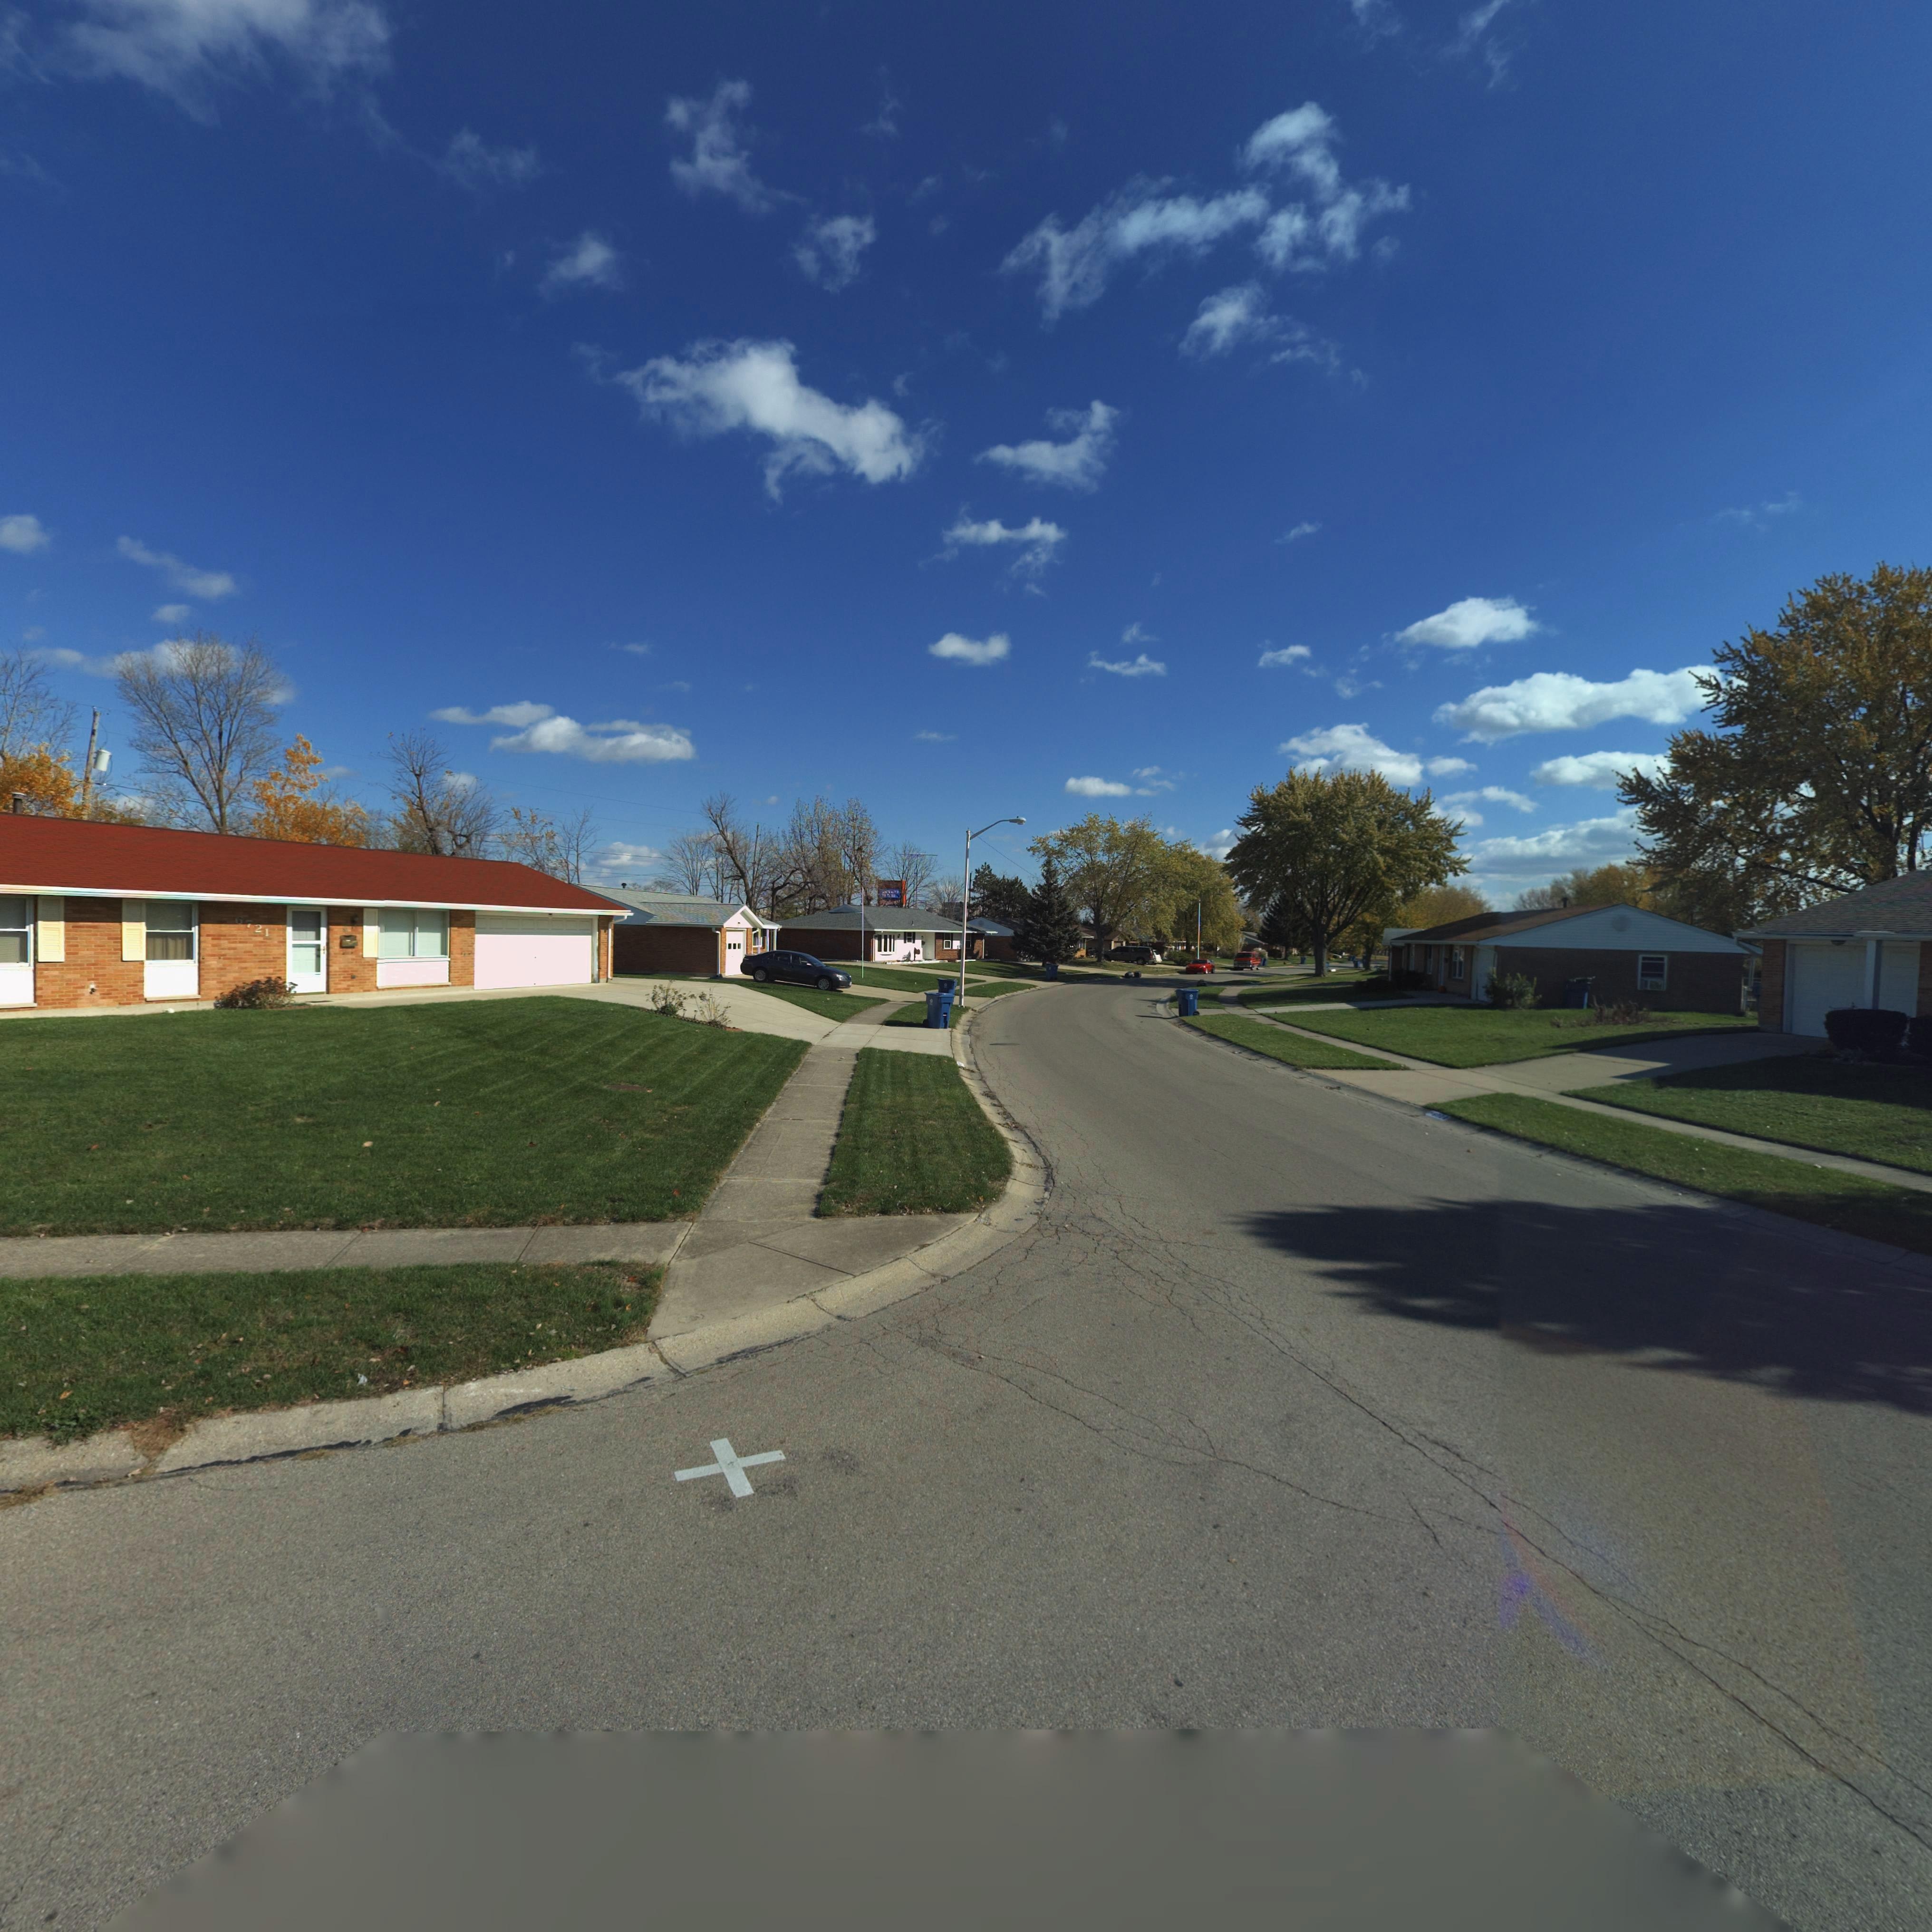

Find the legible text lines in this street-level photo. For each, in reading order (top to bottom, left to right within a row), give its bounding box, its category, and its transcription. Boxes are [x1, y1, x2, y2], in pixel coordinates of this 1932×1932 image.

[234, 915, 269, 937] StreetNumber: 6721